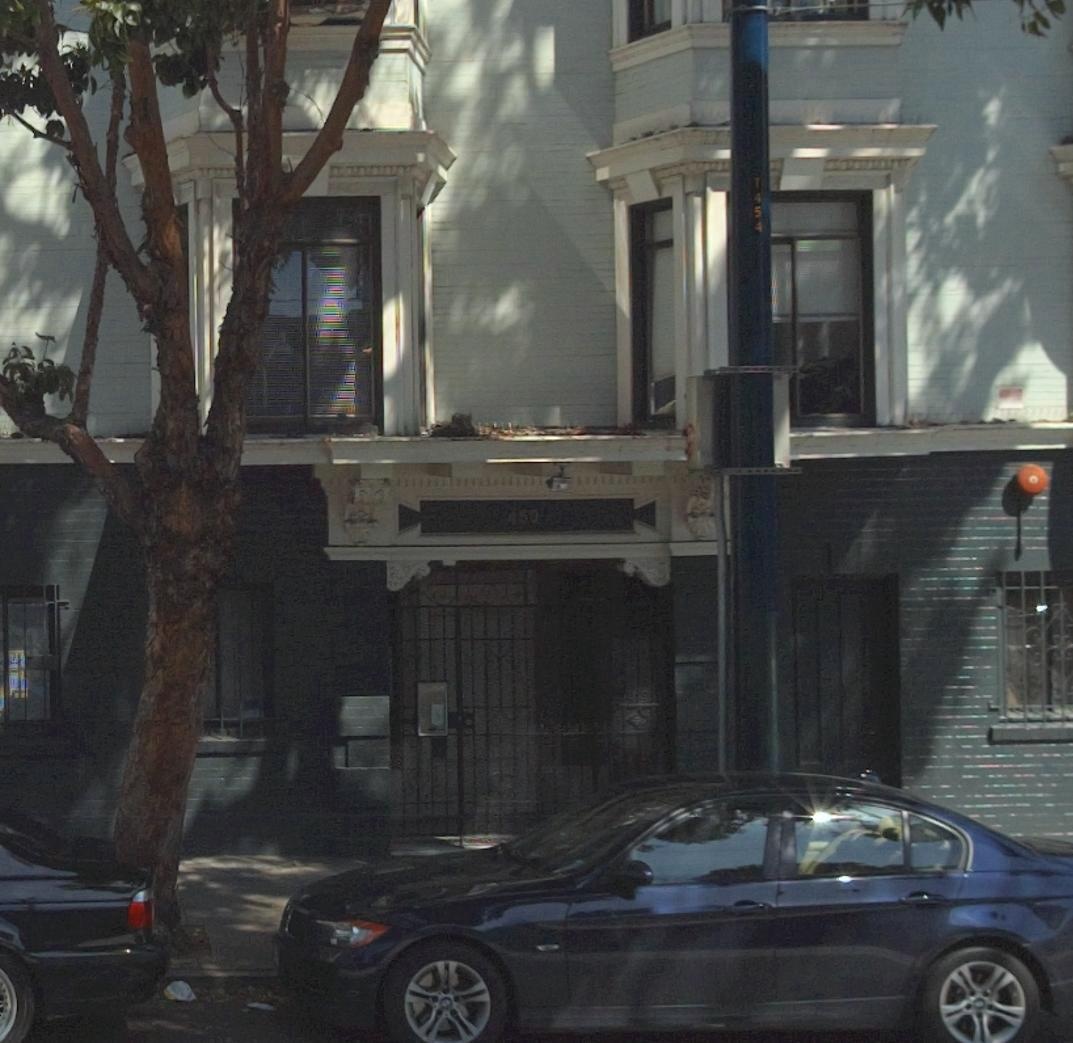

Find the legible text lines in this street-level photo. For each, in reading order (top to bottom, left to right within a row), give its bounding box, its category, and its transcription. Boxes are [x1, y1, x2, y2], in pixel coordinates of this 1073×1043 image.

[508, 509, 539, 526] StreetNumber: 450